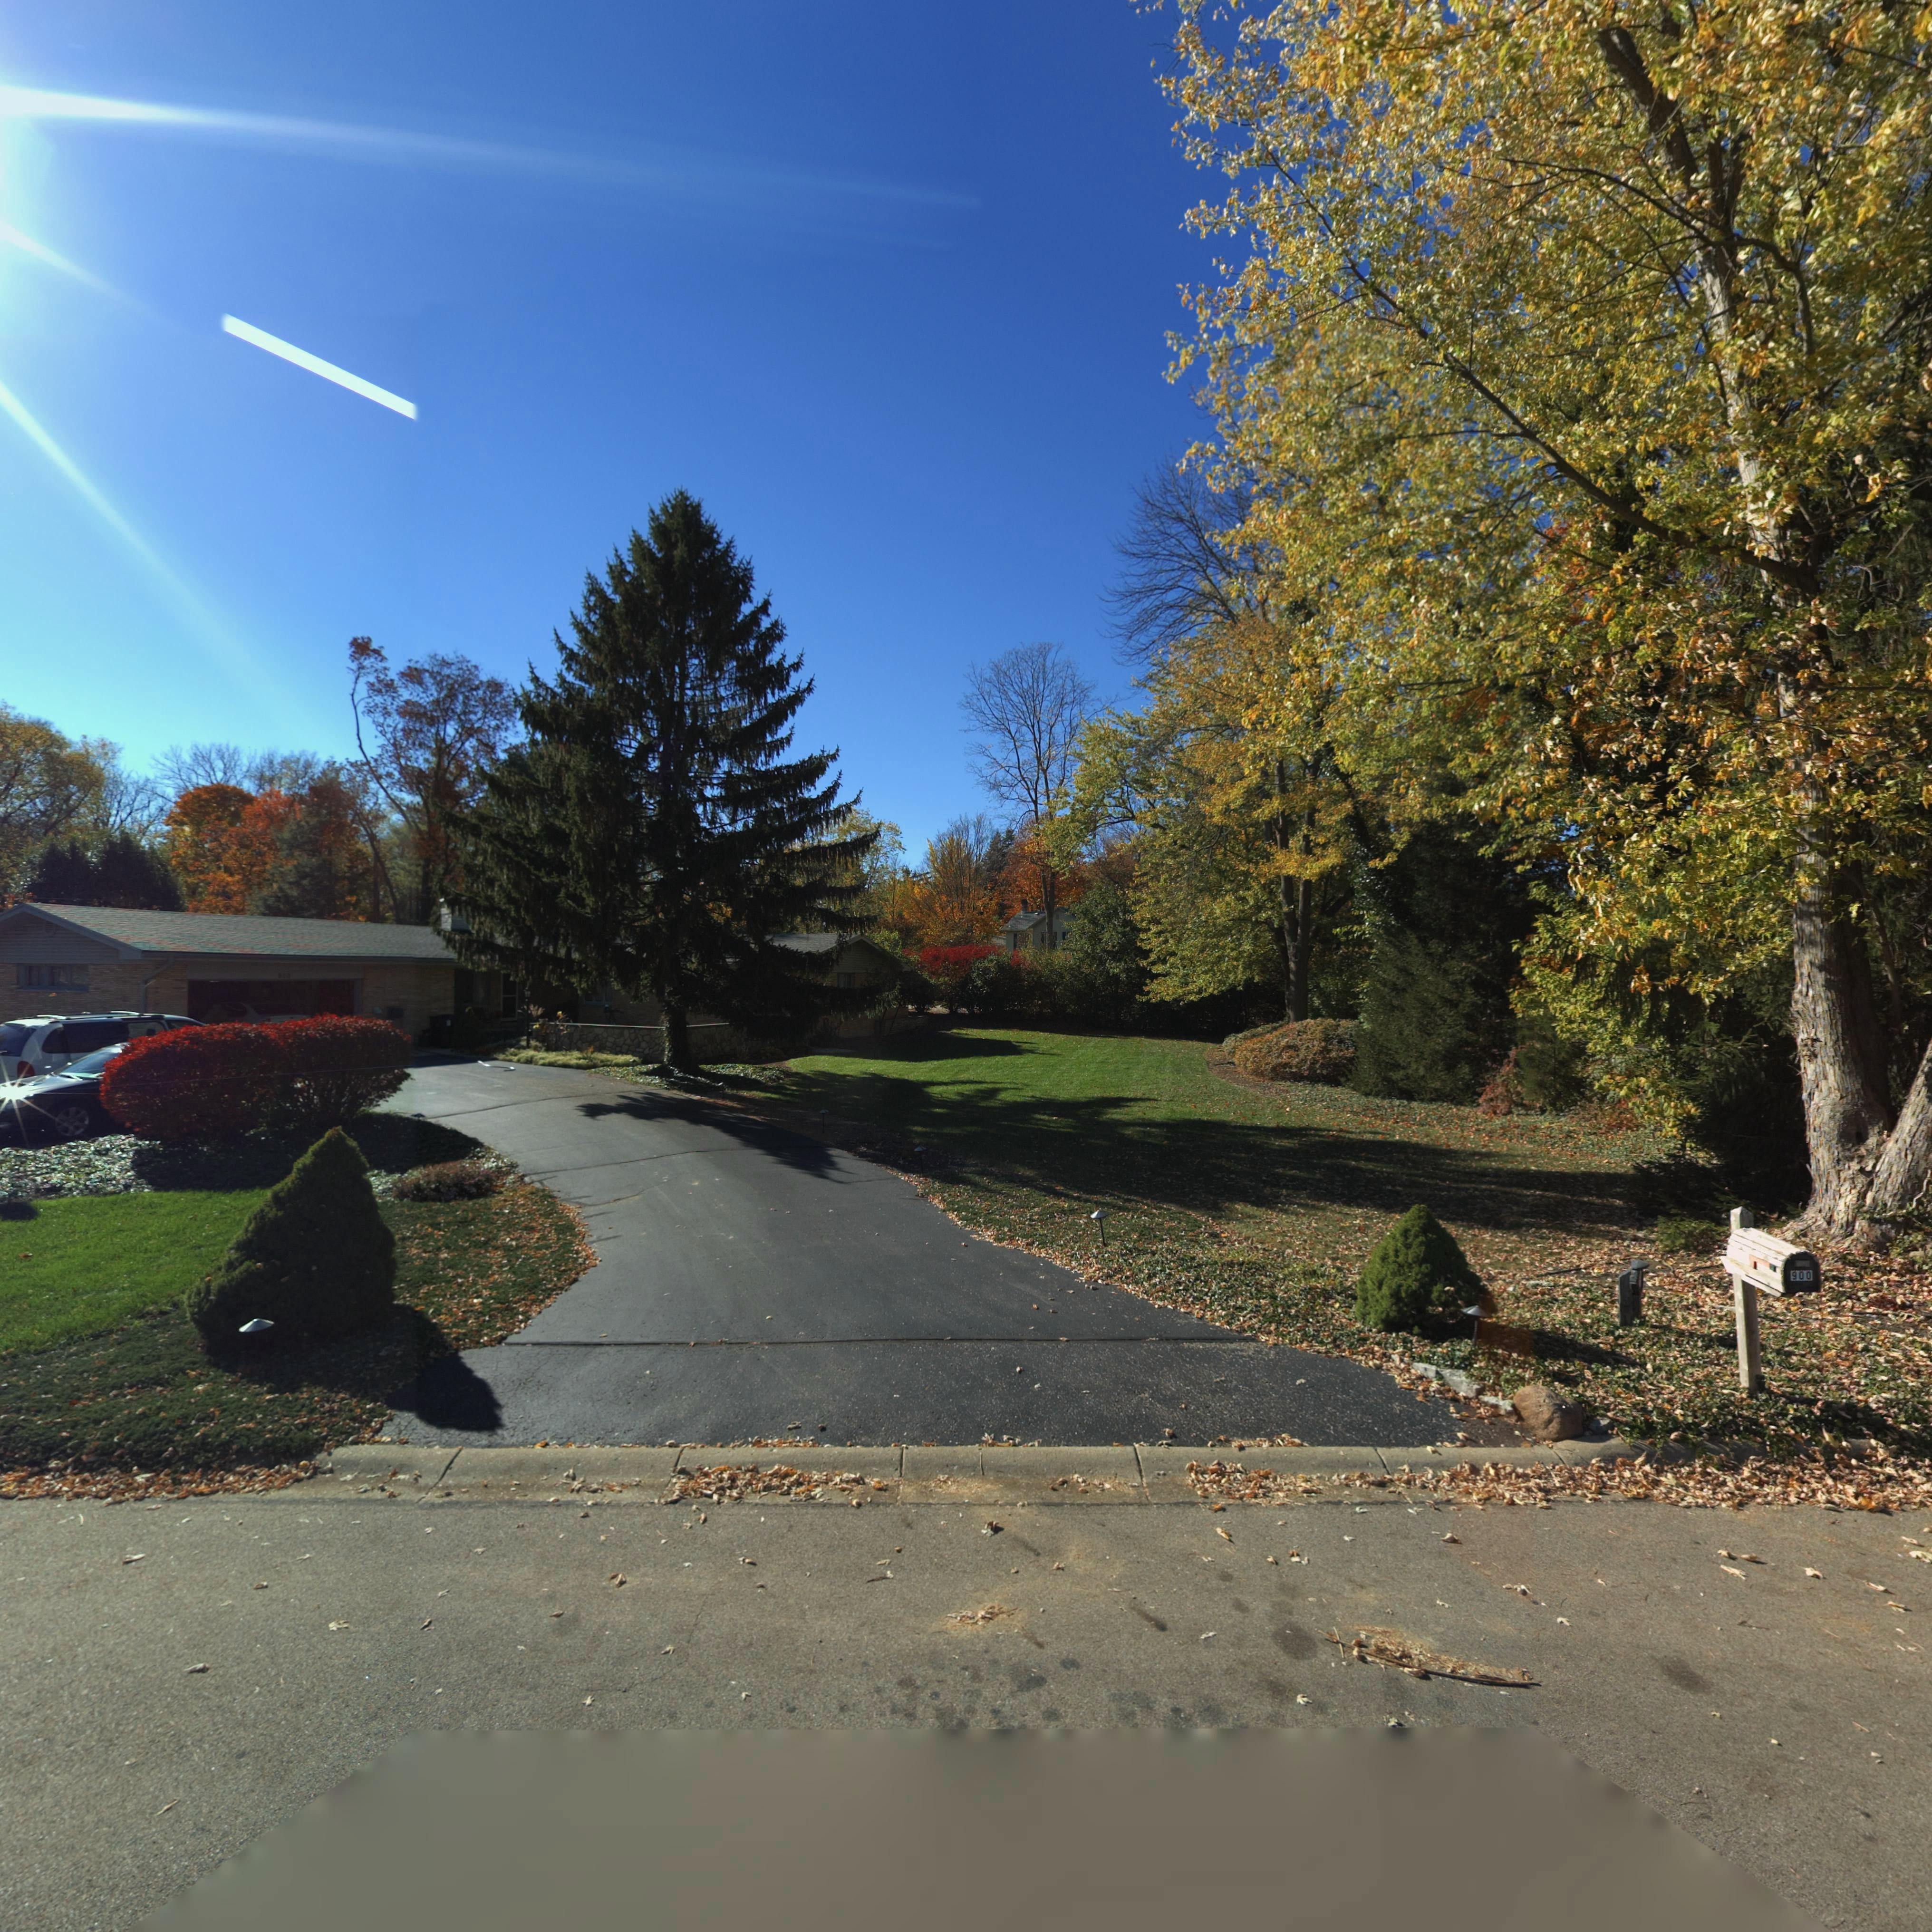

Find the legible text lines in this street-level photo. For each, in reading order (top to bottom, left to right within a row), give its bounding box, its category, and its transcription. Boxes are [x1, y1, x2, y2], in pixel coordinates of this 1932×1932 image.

[277, 972, 291, 979] StreetNumber: 900
[1791, 1270, 1812, 1281] StreetNumber: 900